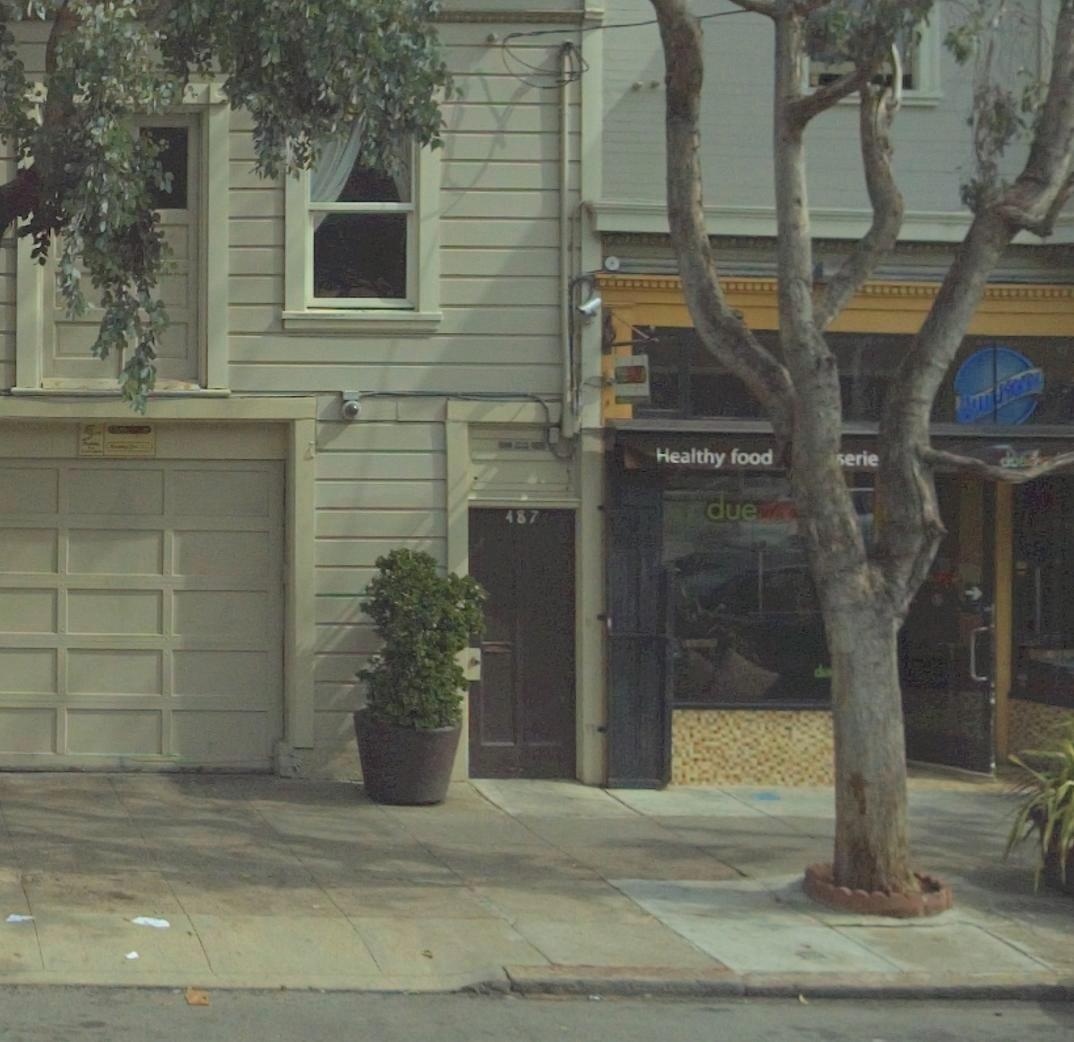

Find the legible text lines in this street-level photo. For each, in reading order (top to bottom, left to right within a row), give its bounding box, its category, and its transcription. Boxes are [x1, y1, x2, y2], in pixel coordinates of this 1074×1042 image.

[652, 445, 775, 469] None: Healthy food
[833, 449, 879, 467] None: *erie
[504, 510, 540, 524] StreetNumber: 487
[706, 488, 758, 522] None: due